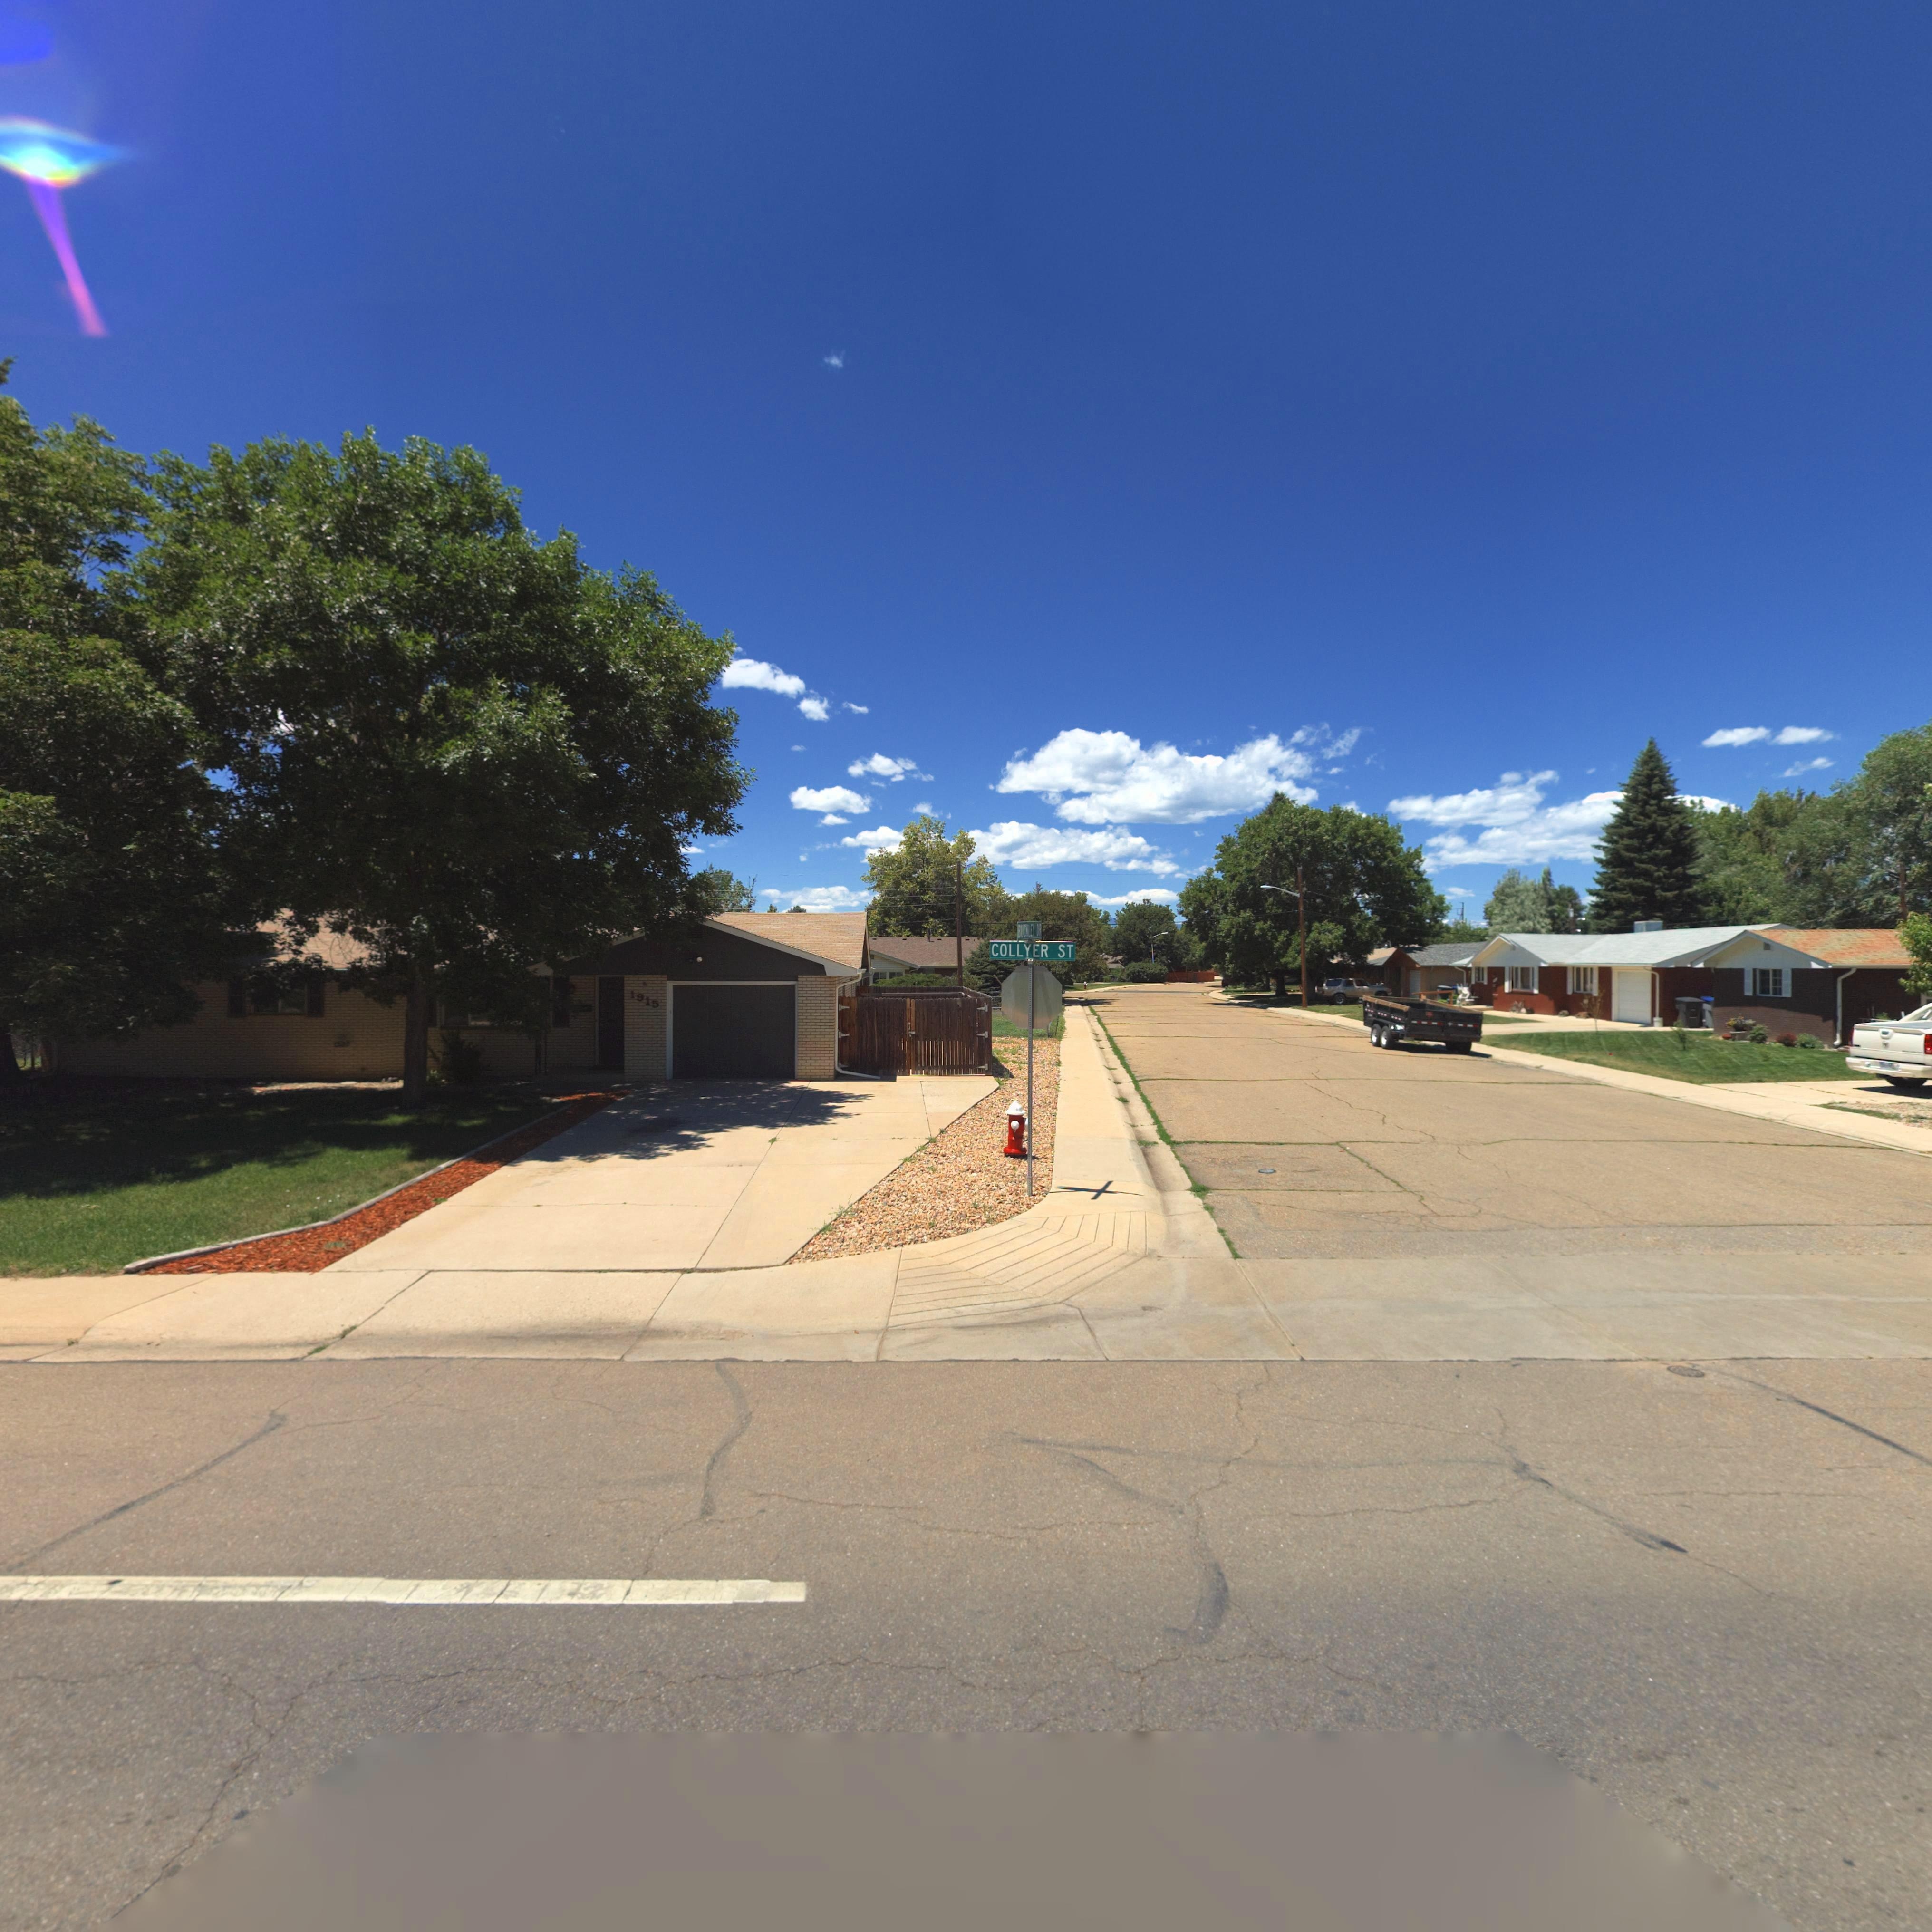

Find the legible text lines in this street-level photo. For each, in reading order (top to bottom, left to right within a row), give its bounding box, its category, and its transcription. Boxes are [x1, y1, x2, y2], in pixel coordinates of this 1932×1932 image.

[1017, 923, 1042, 938] StreetName: BUCKLEY DR
[991, 943, 1074, 958] StreetName: COLLYER ST
[629, 989, 659, 1009] StreetNumber: 1915